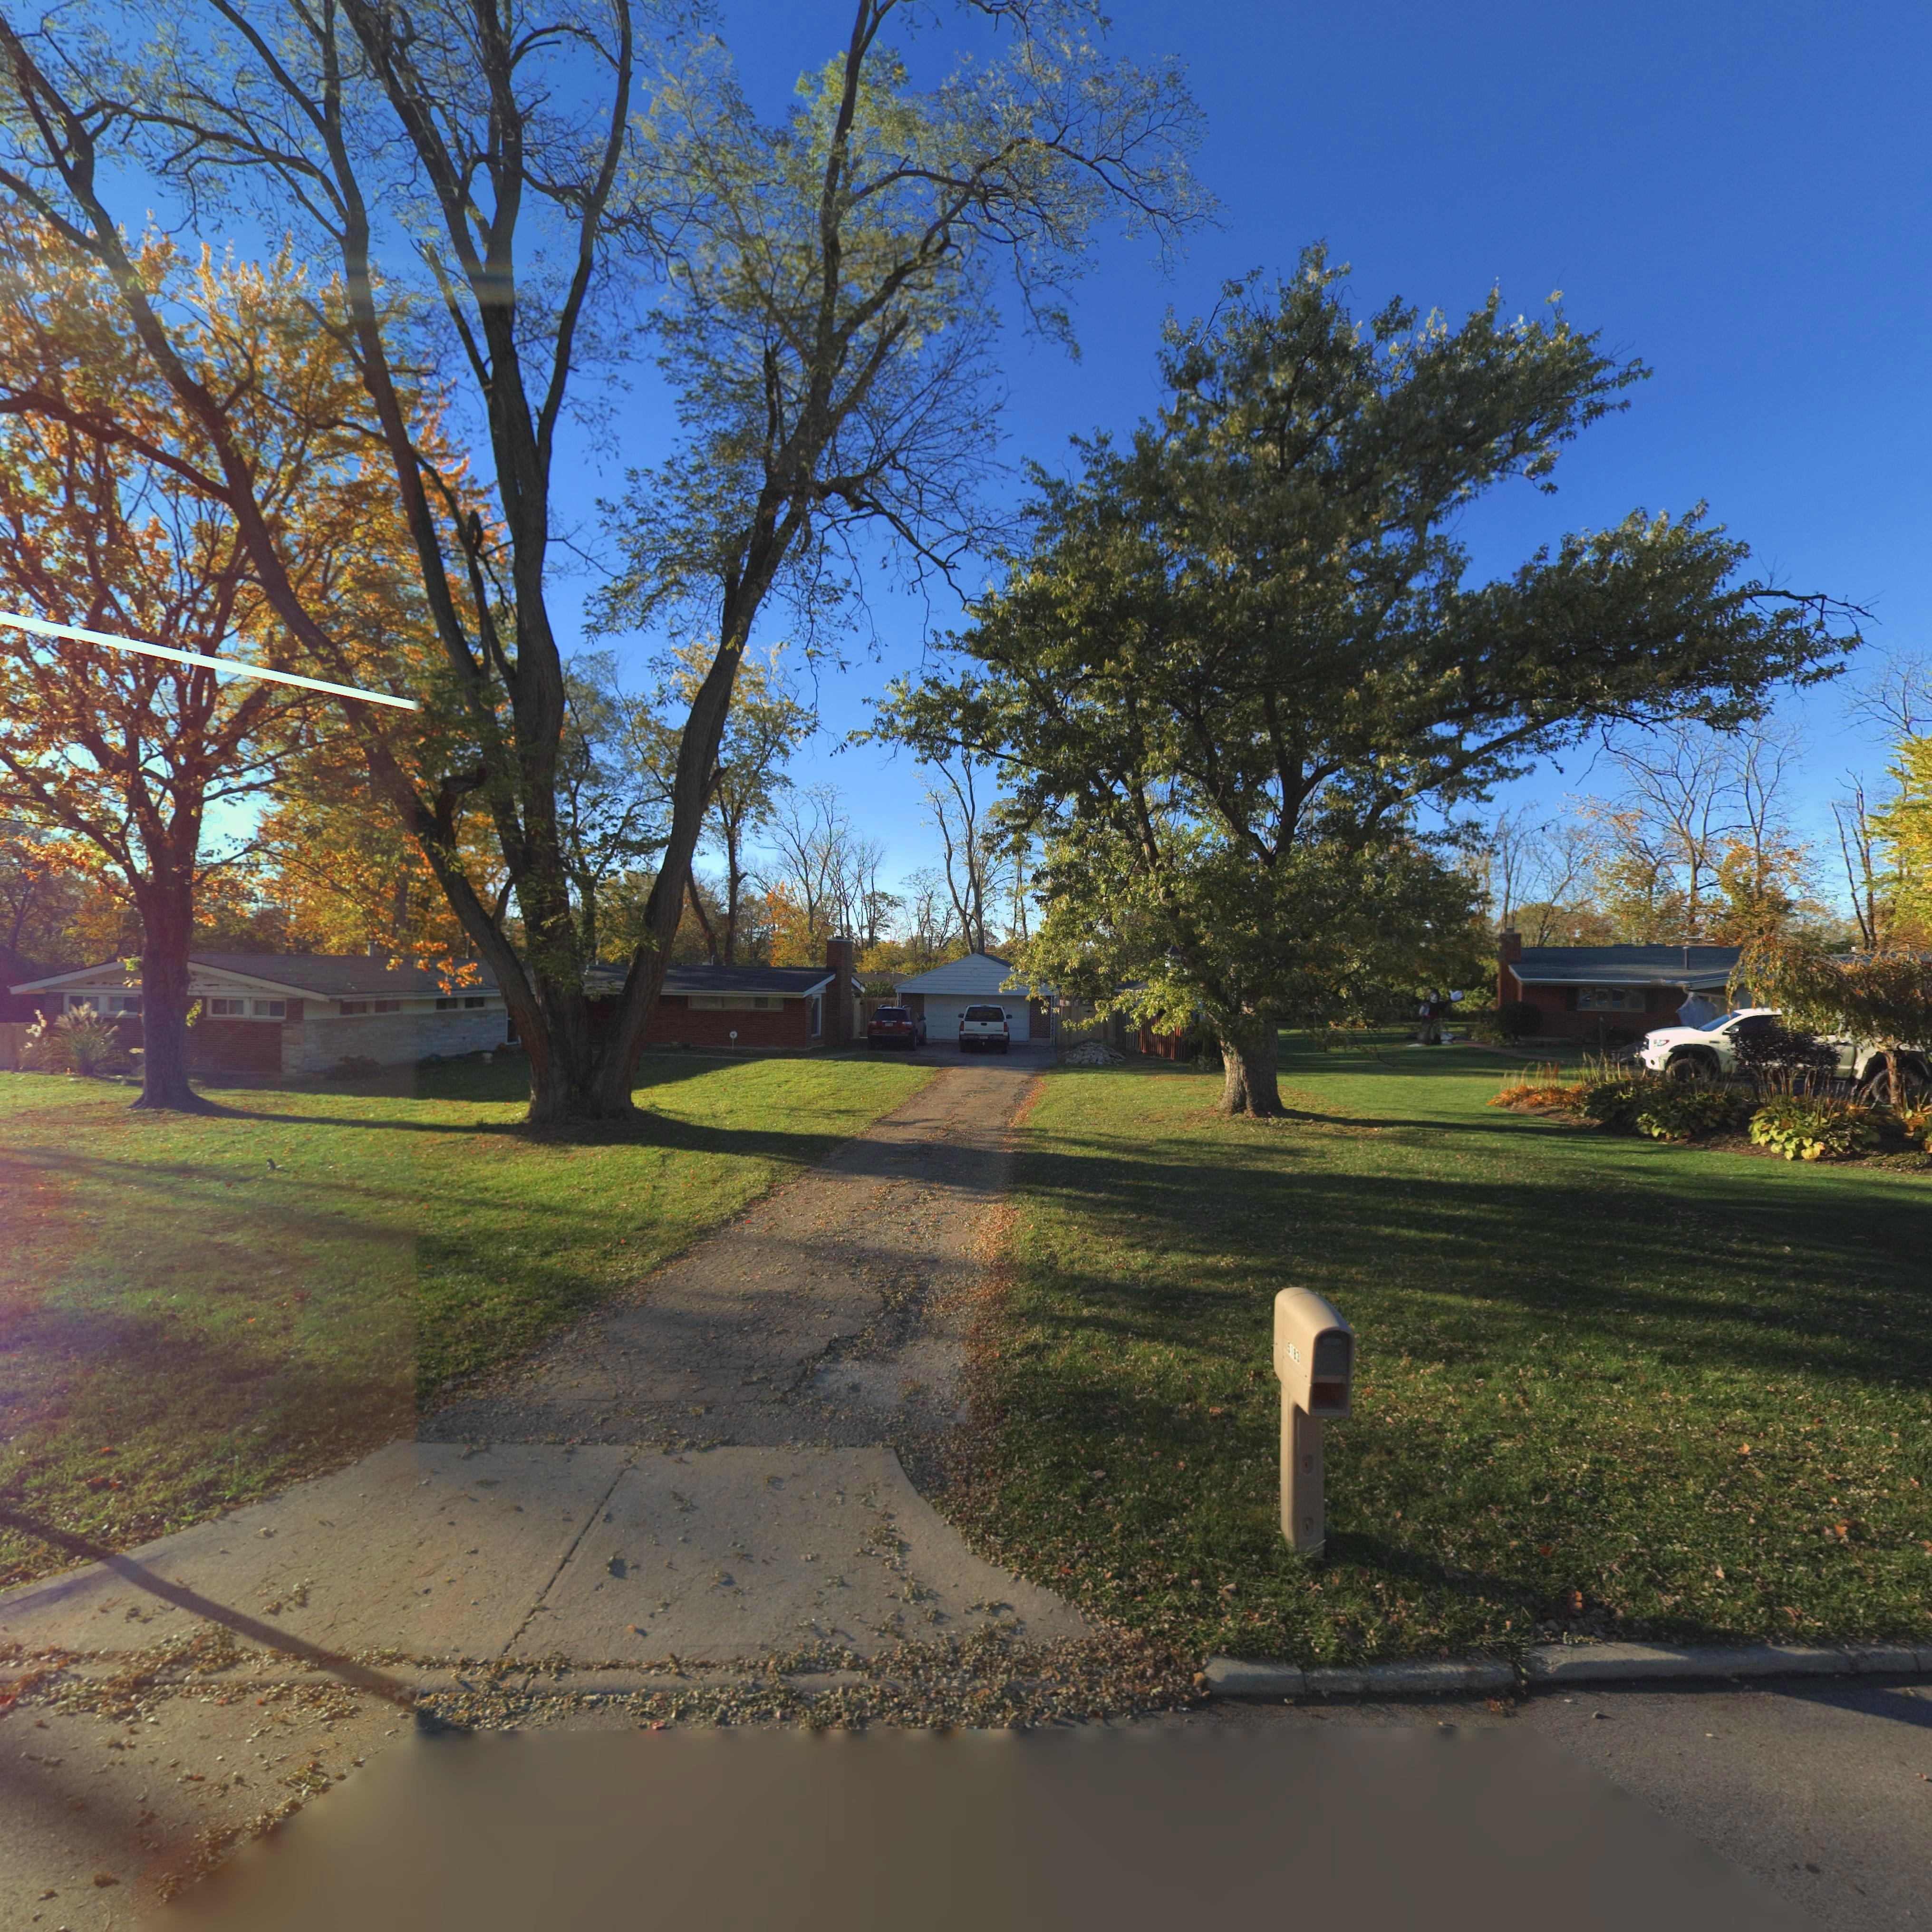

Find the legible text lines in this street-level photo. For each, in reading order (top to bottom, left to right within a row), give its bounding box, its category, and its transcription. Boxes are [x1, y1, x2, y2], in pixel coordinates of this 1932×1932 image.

[1286, 1340, 1301, 1364] StreetNumber: 5**3